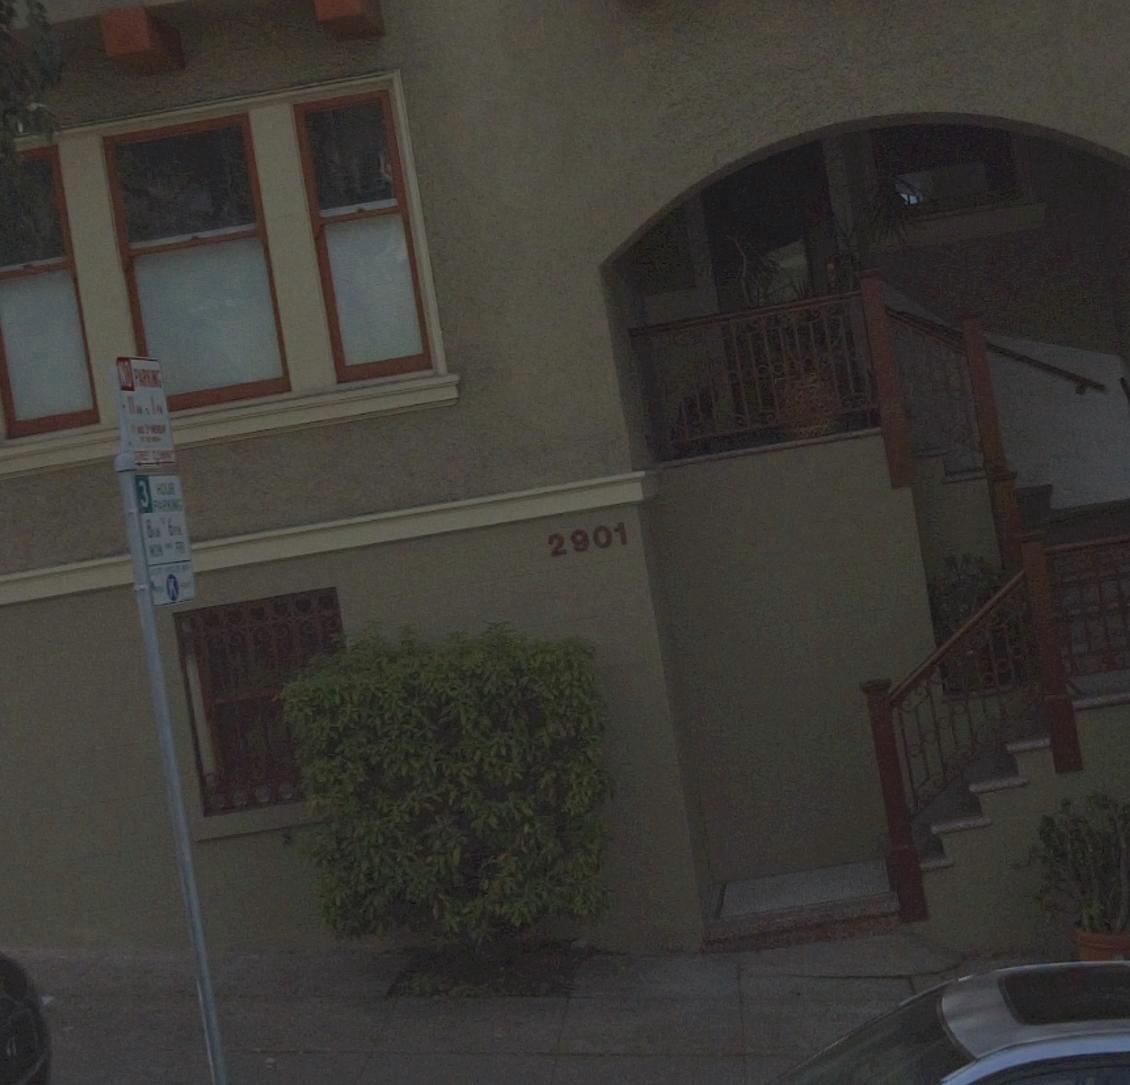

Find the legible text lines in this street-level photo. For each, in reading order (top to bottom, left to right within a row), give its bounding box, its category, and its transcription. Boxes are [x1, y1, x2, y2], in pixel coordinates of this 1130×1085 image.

[121, 358, 141, 390] None: O P
[124, 392, 138, 418] None: 11
[148, 393, 159, 418] None: 1
[135, 476, 152, 511] None: 3
[142, 516, 156, 542] None: 8
[165, 515, 178, 539] None: 6
[544, 518, 631, 561] StreetNumber: 2901
[165, 575, 180, 600] None: K